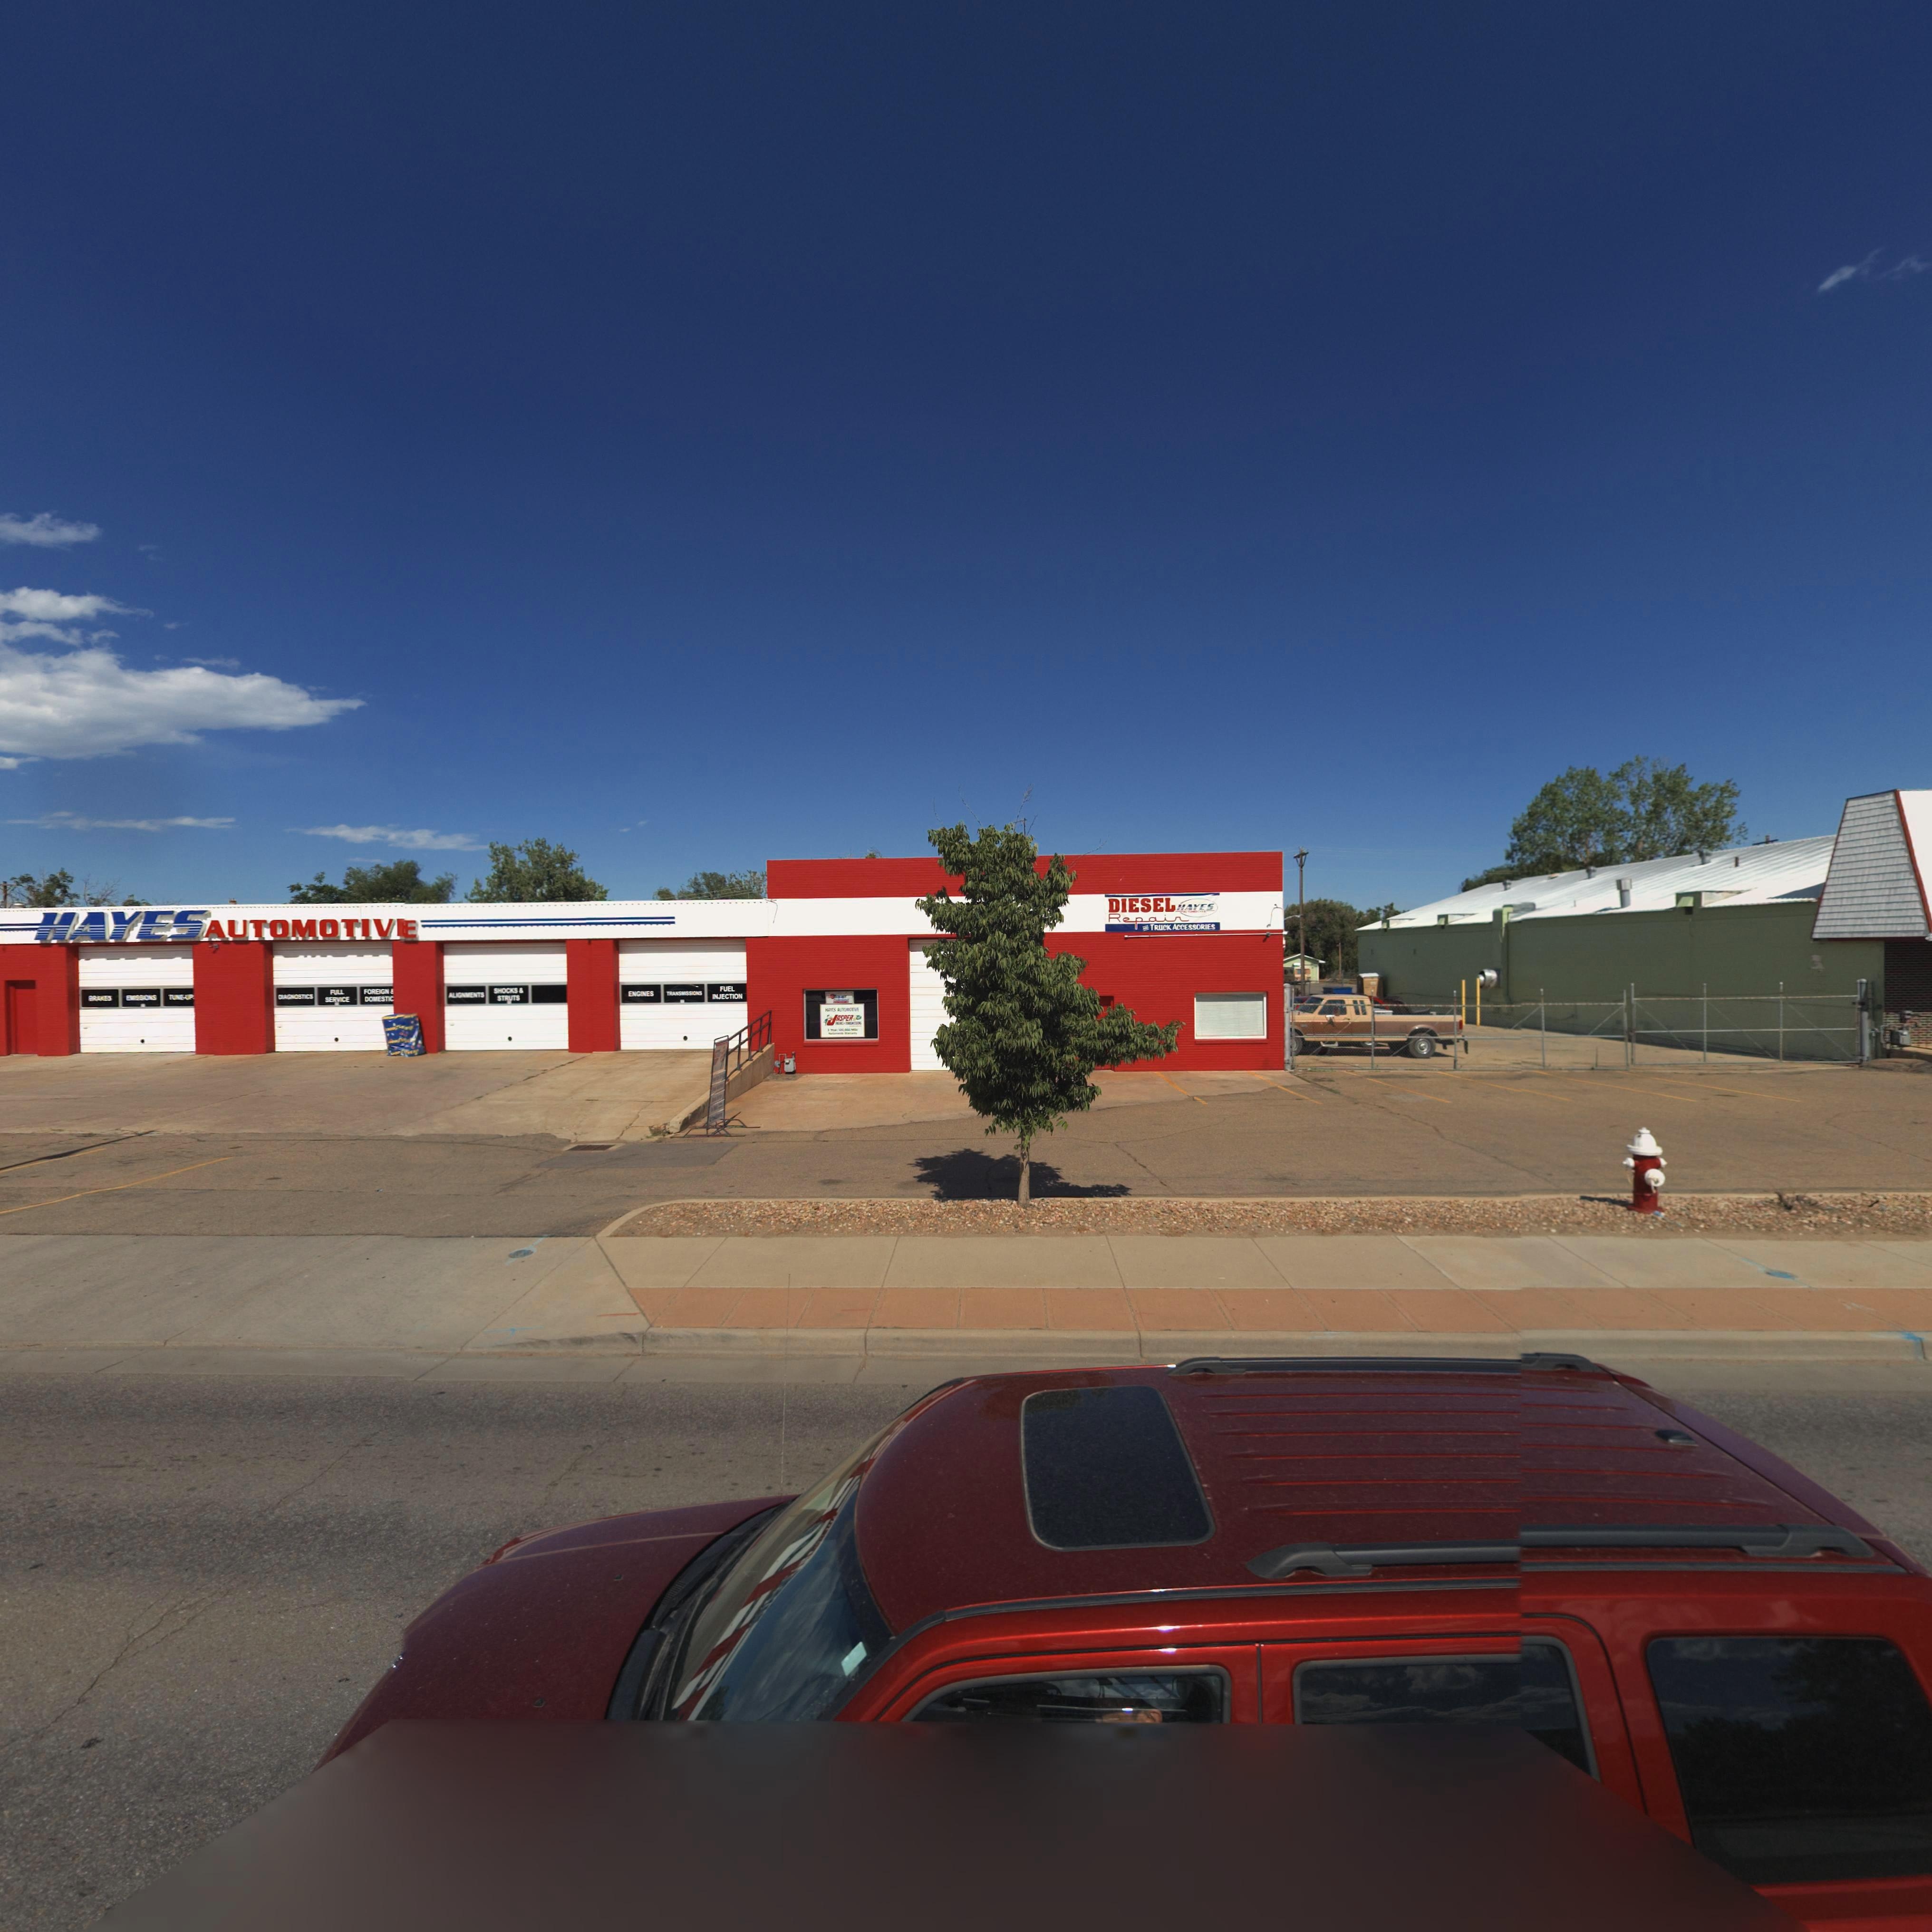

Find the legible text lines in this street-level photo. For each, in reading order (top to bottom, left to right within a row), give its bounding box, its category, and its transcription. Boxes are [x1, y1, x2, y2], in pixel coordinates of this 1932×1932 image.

[1176, 903, 1215, 910] BusinessName: HAYES
[31, 909, 210, 940] BusinessName: HAYES
[203, 917, 417, 939] BusinessName: AUTOMOTIVE
[824, 1007, 860, 1012] BusinessName: HAYES *UTO*OTIVE